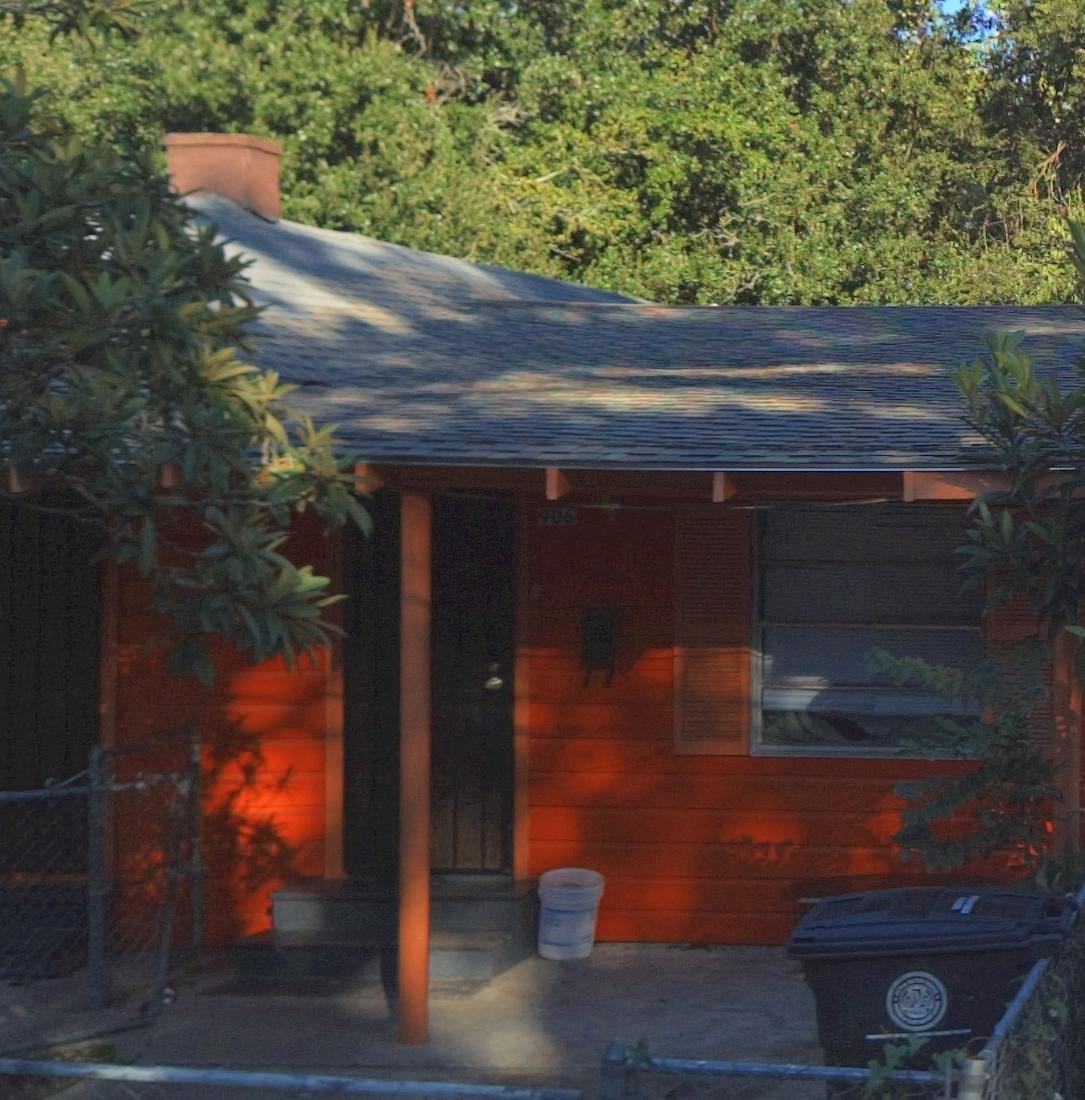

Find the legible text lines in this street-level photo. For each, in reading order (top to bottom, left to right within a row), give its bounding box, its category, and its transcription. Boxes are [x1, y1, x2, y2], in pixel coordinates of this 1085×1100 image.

[537, 506, 577, 526] StreetNumber: 906